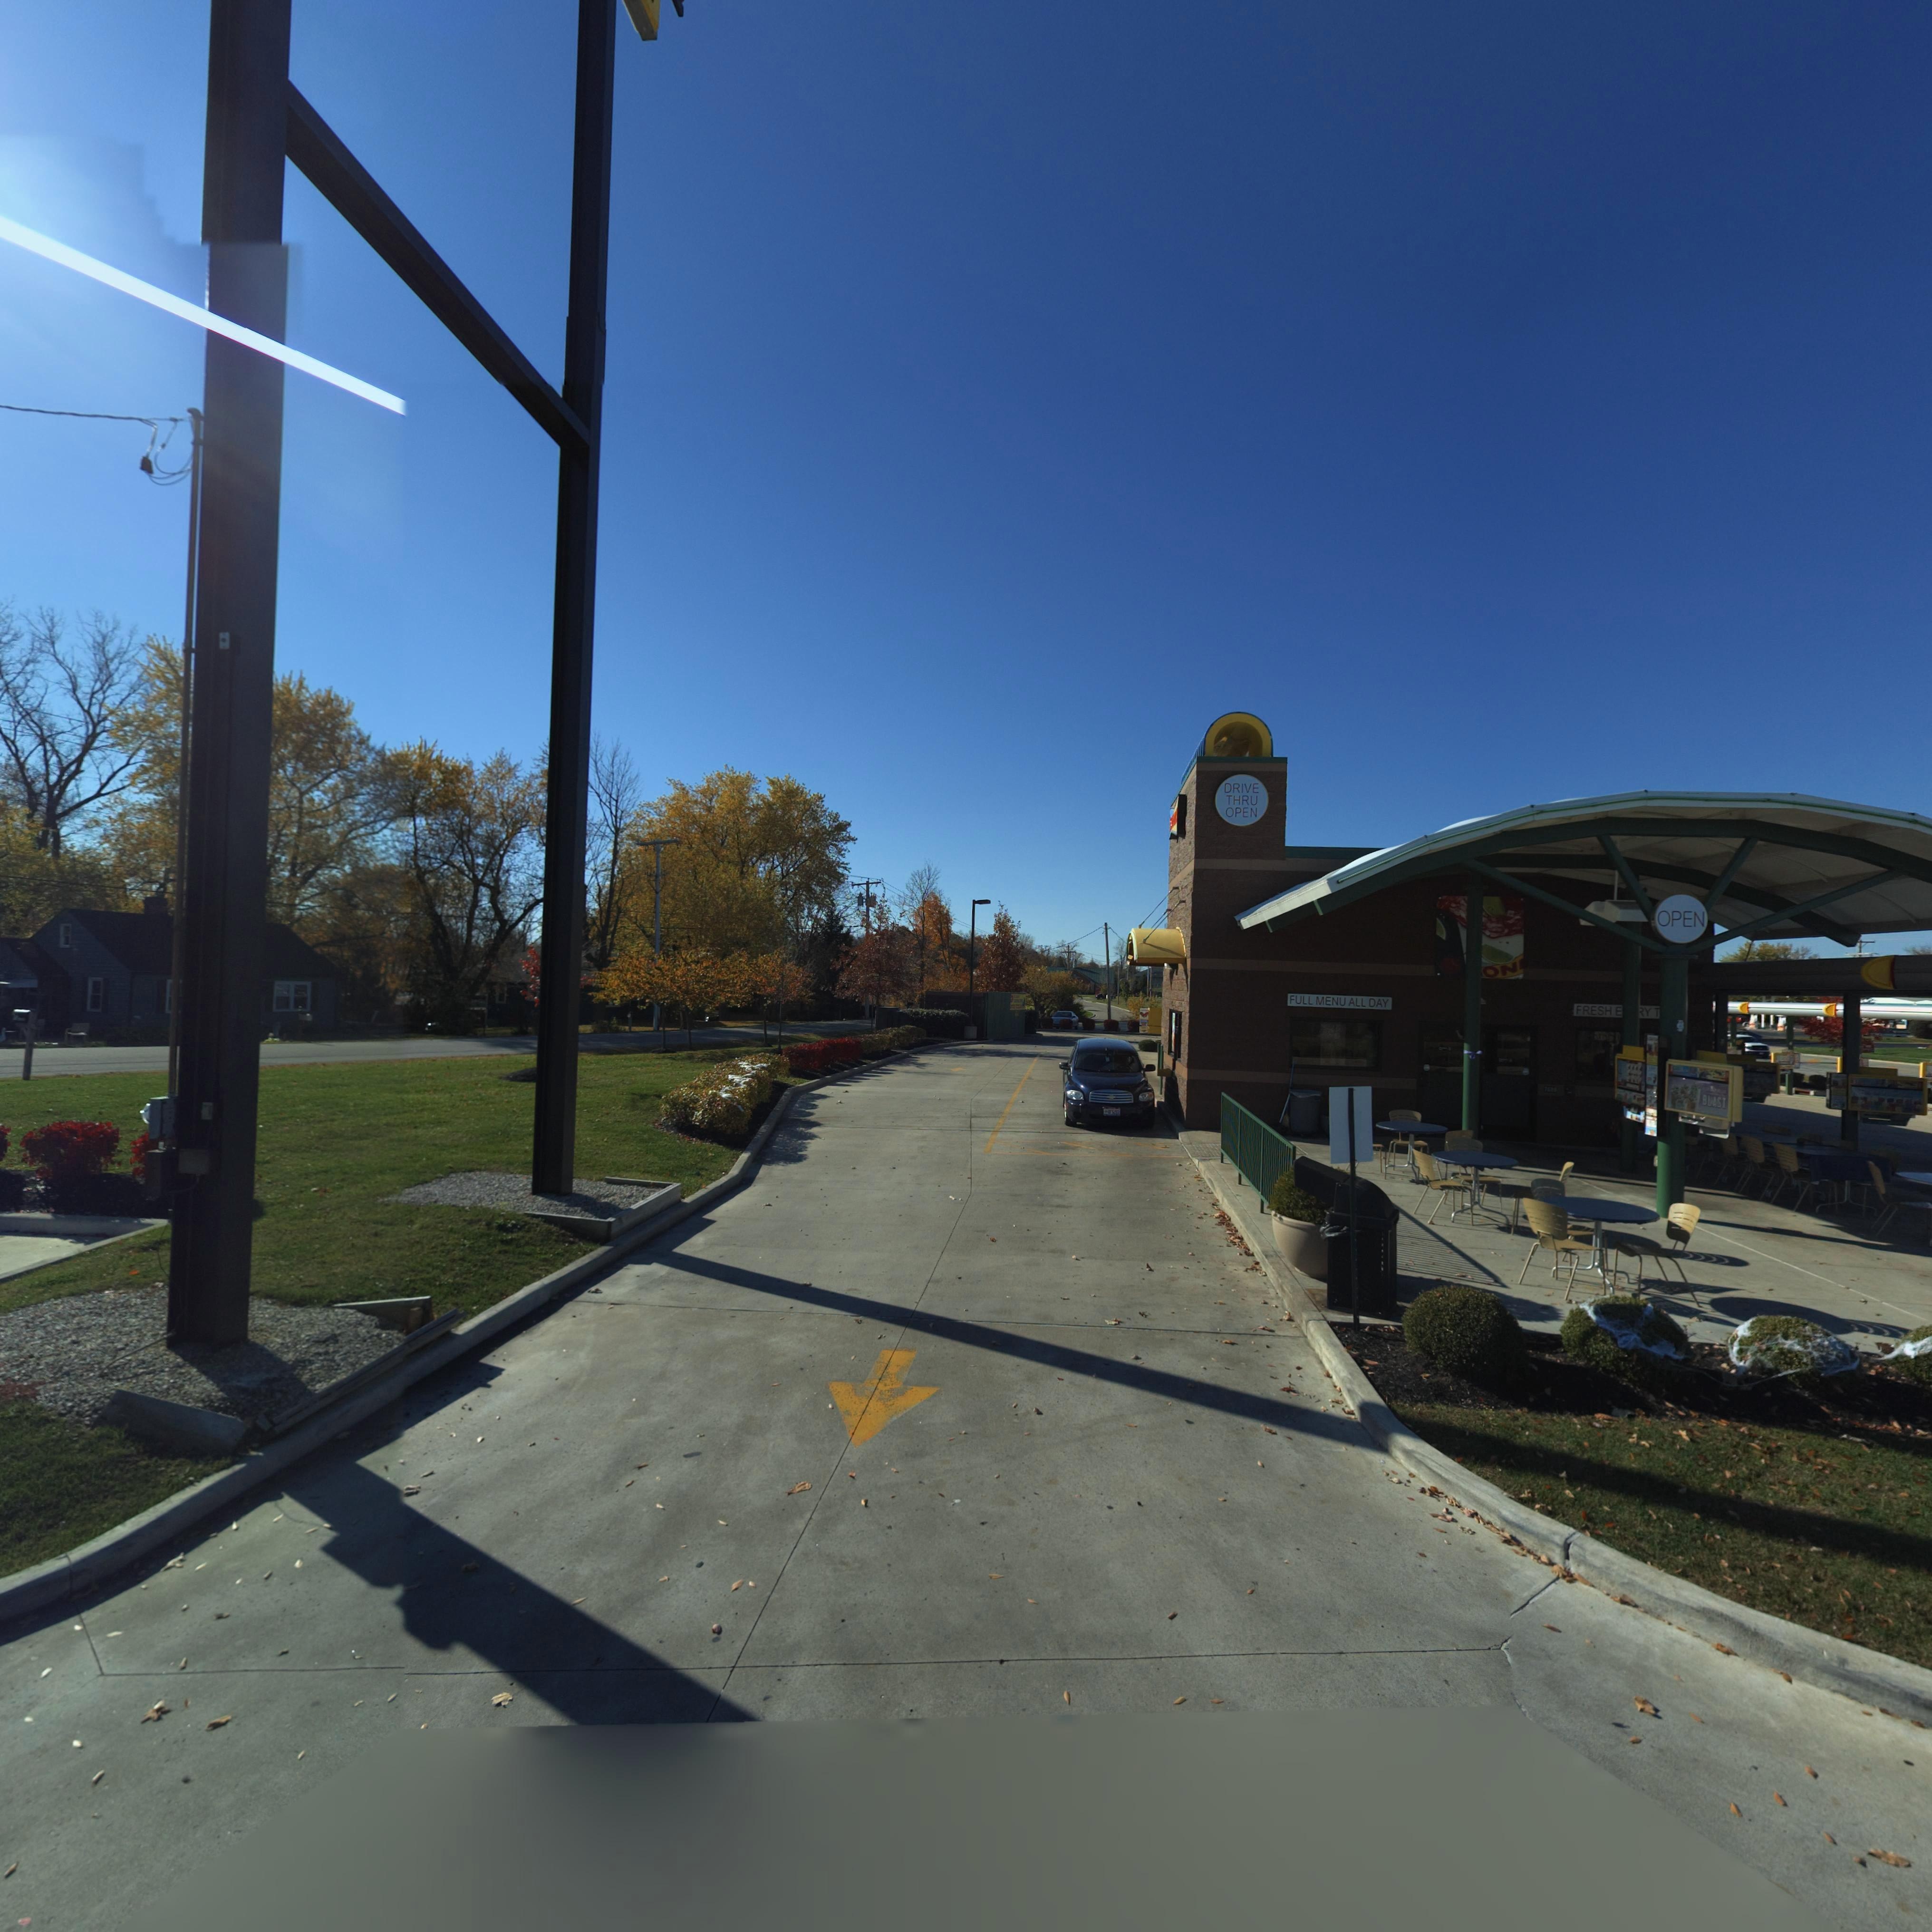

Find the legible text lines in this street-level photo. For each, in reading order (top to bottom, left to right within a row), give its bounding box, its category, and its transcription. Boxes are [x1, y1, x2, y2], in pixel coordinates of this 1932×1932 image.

[1544, 1086, 1557, 1092] StreetNumber: 7*88